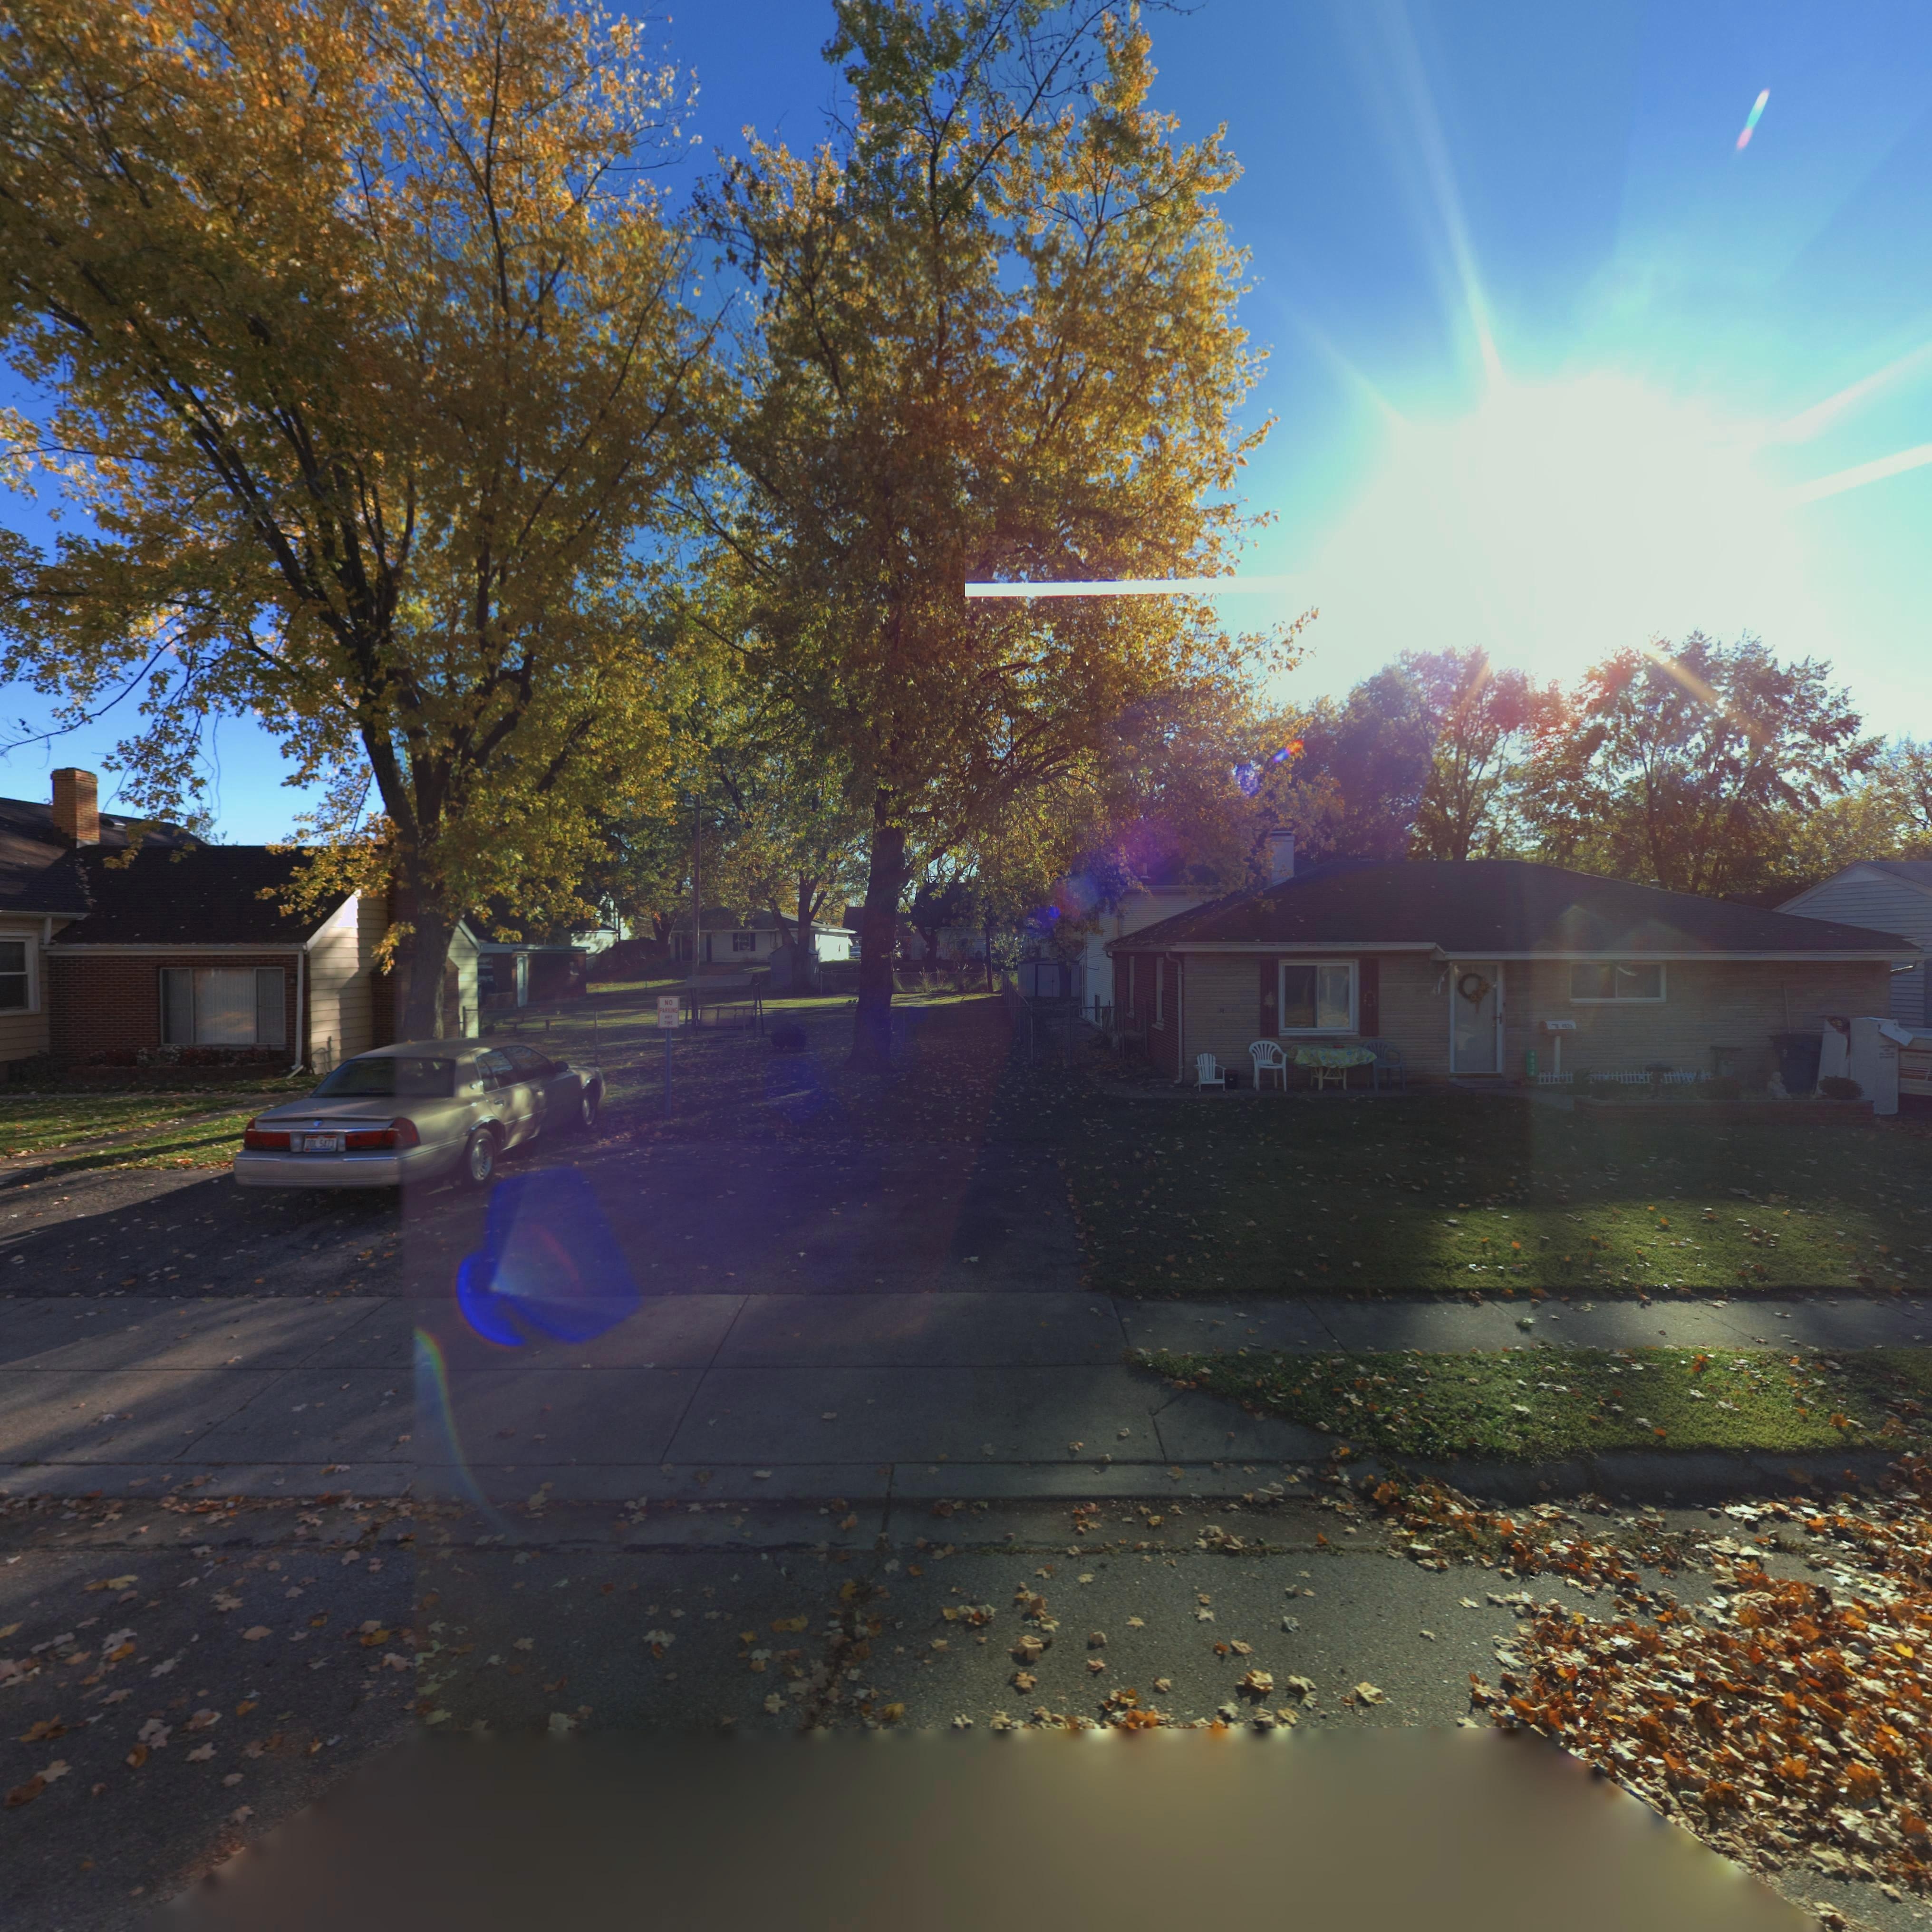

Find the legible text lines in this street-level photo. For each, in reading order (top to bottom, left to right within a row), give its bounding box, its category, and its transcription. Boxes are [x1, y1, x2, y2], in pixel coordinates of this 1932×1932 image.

[1530, 1050, 1536, 1077] StreetNumber: **3*